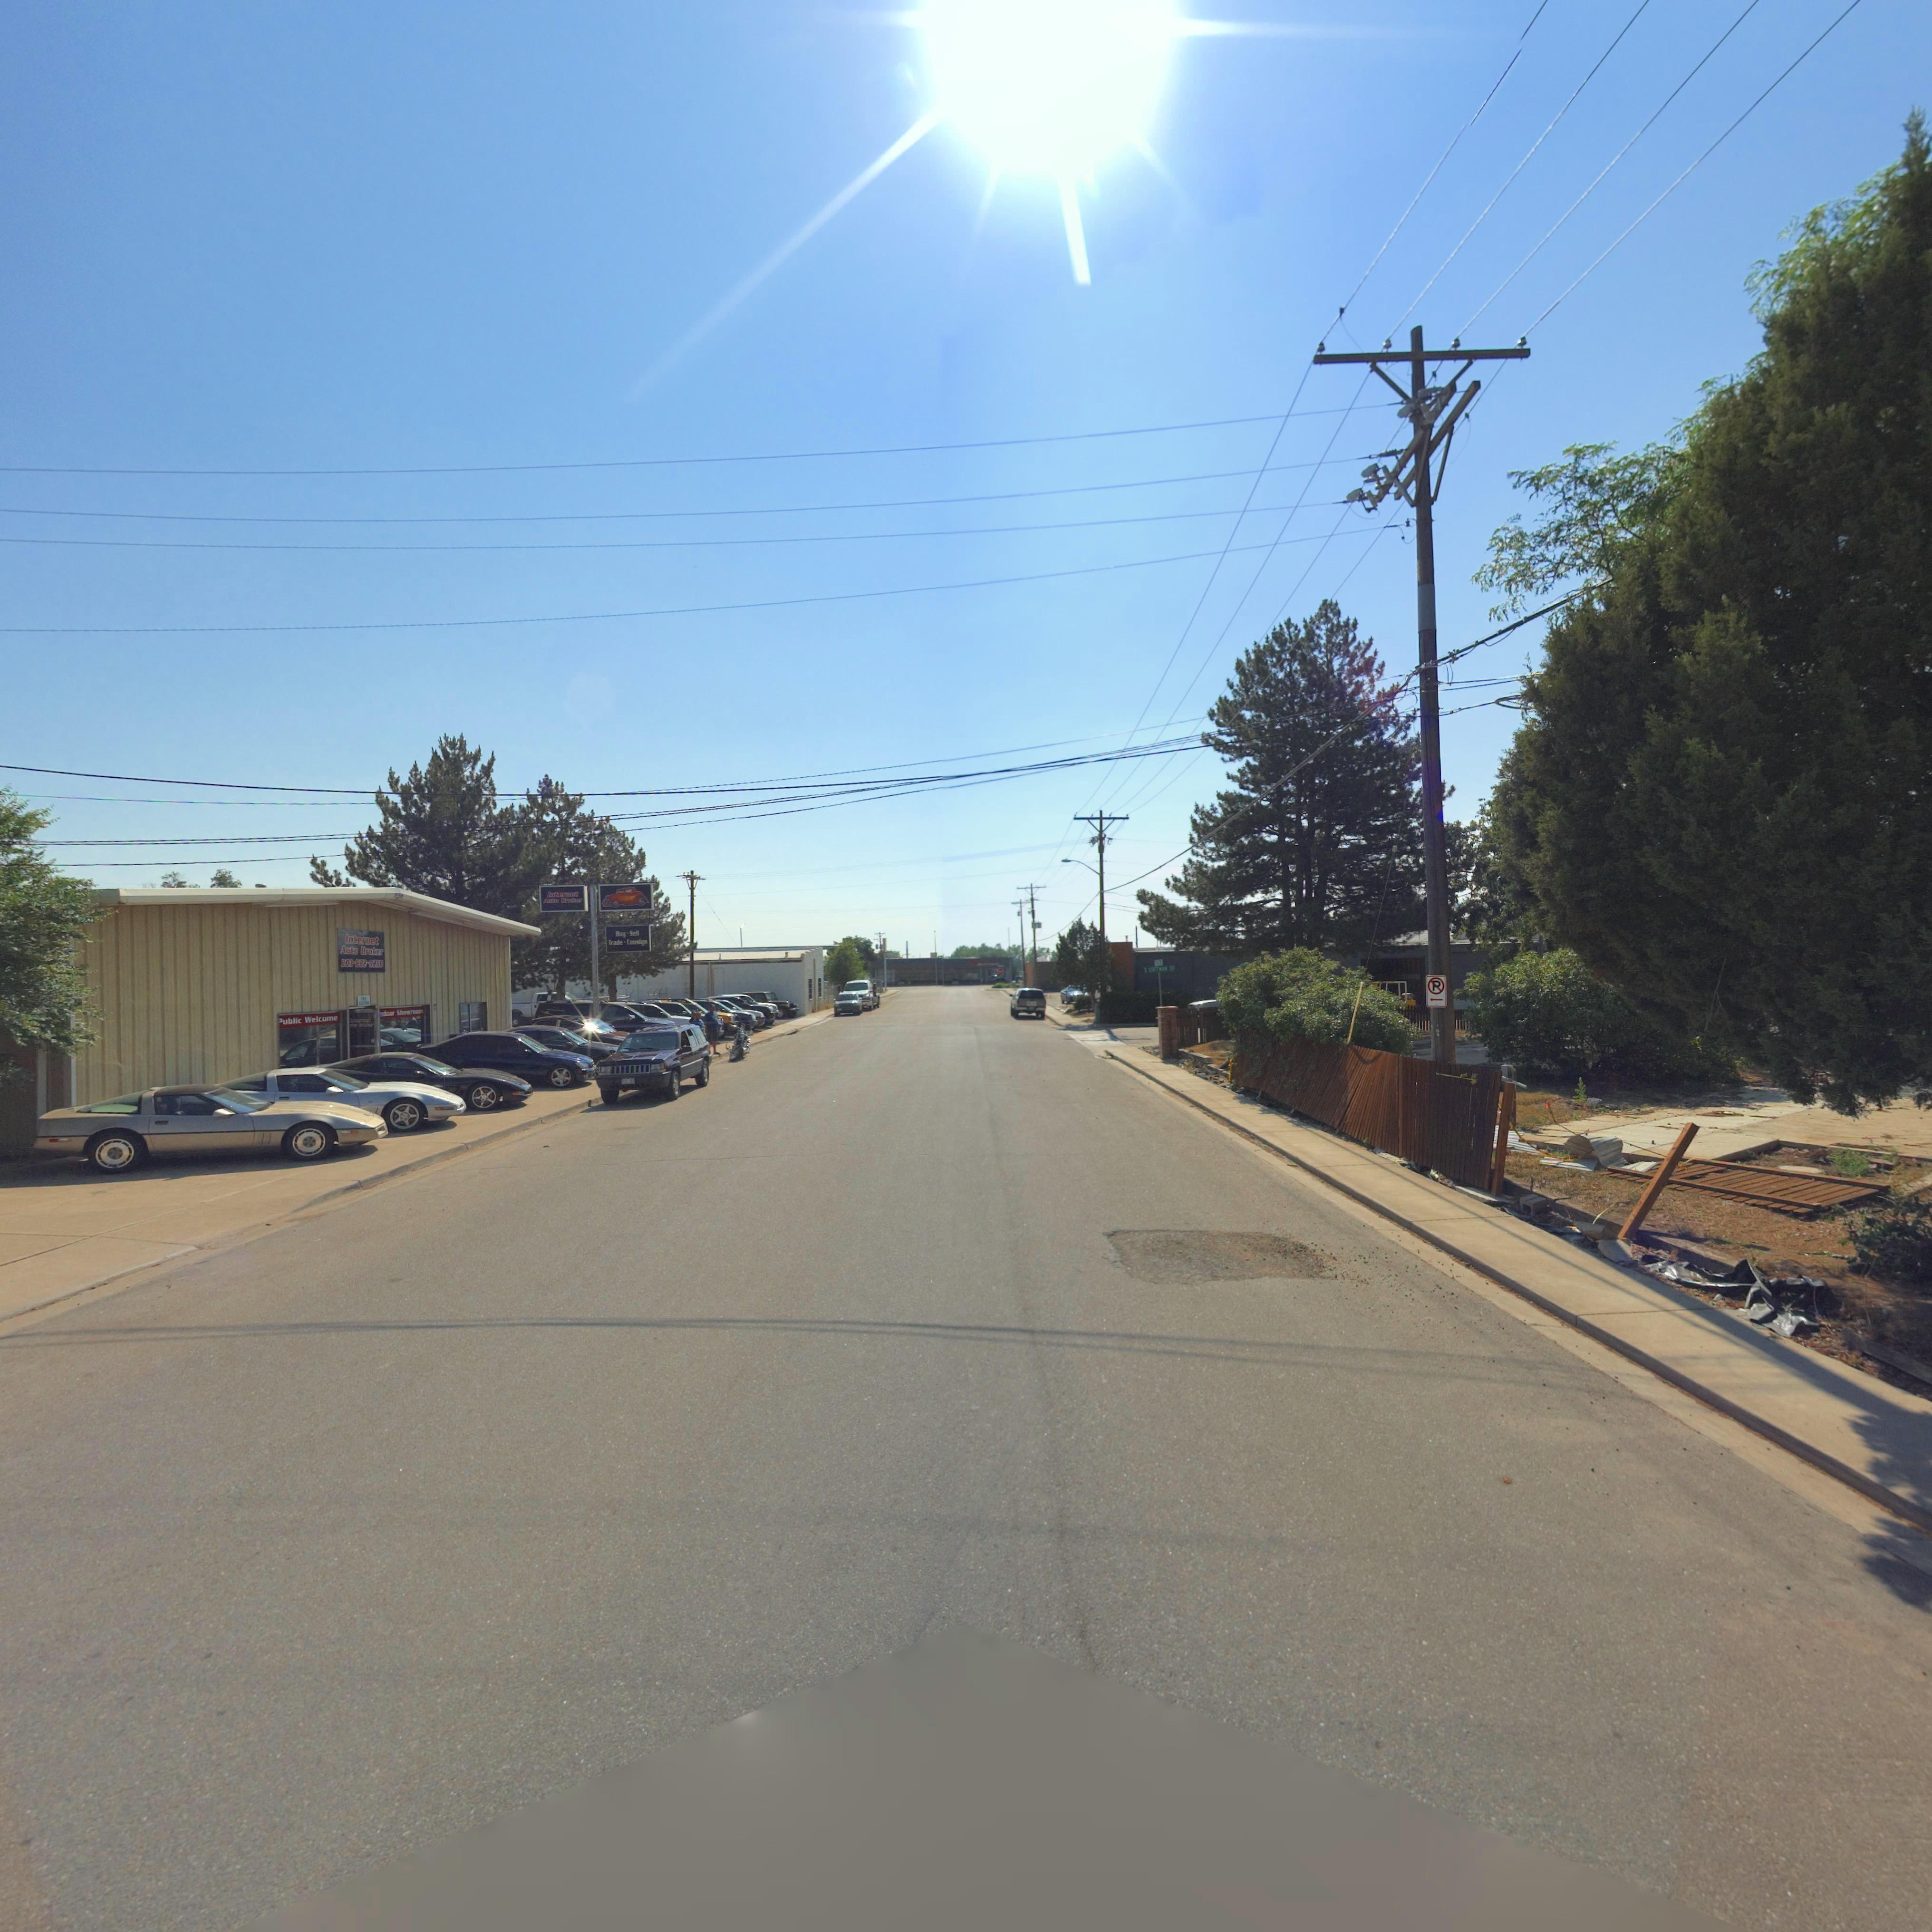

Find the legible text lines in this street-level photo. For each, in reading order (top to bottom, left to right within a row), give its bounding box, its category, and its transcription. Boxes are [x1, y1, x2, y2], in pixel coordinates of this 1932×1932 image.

[546, 891, 578, 897] BusinessName: Internet
[542, 898, 583, 903] BusinessName: Auto Broker
[344, 933, 379, 946] BusinessName: Internet
[338, 945, 384, 957] BusinessName: Auto Broker
[1144, 966, 1174, 972] StreetName: S COFFMAN S*
[359, 996, 367, 1001] StreetNumber: **0
[358, 1001, 369, 1005] StreetName: *****N